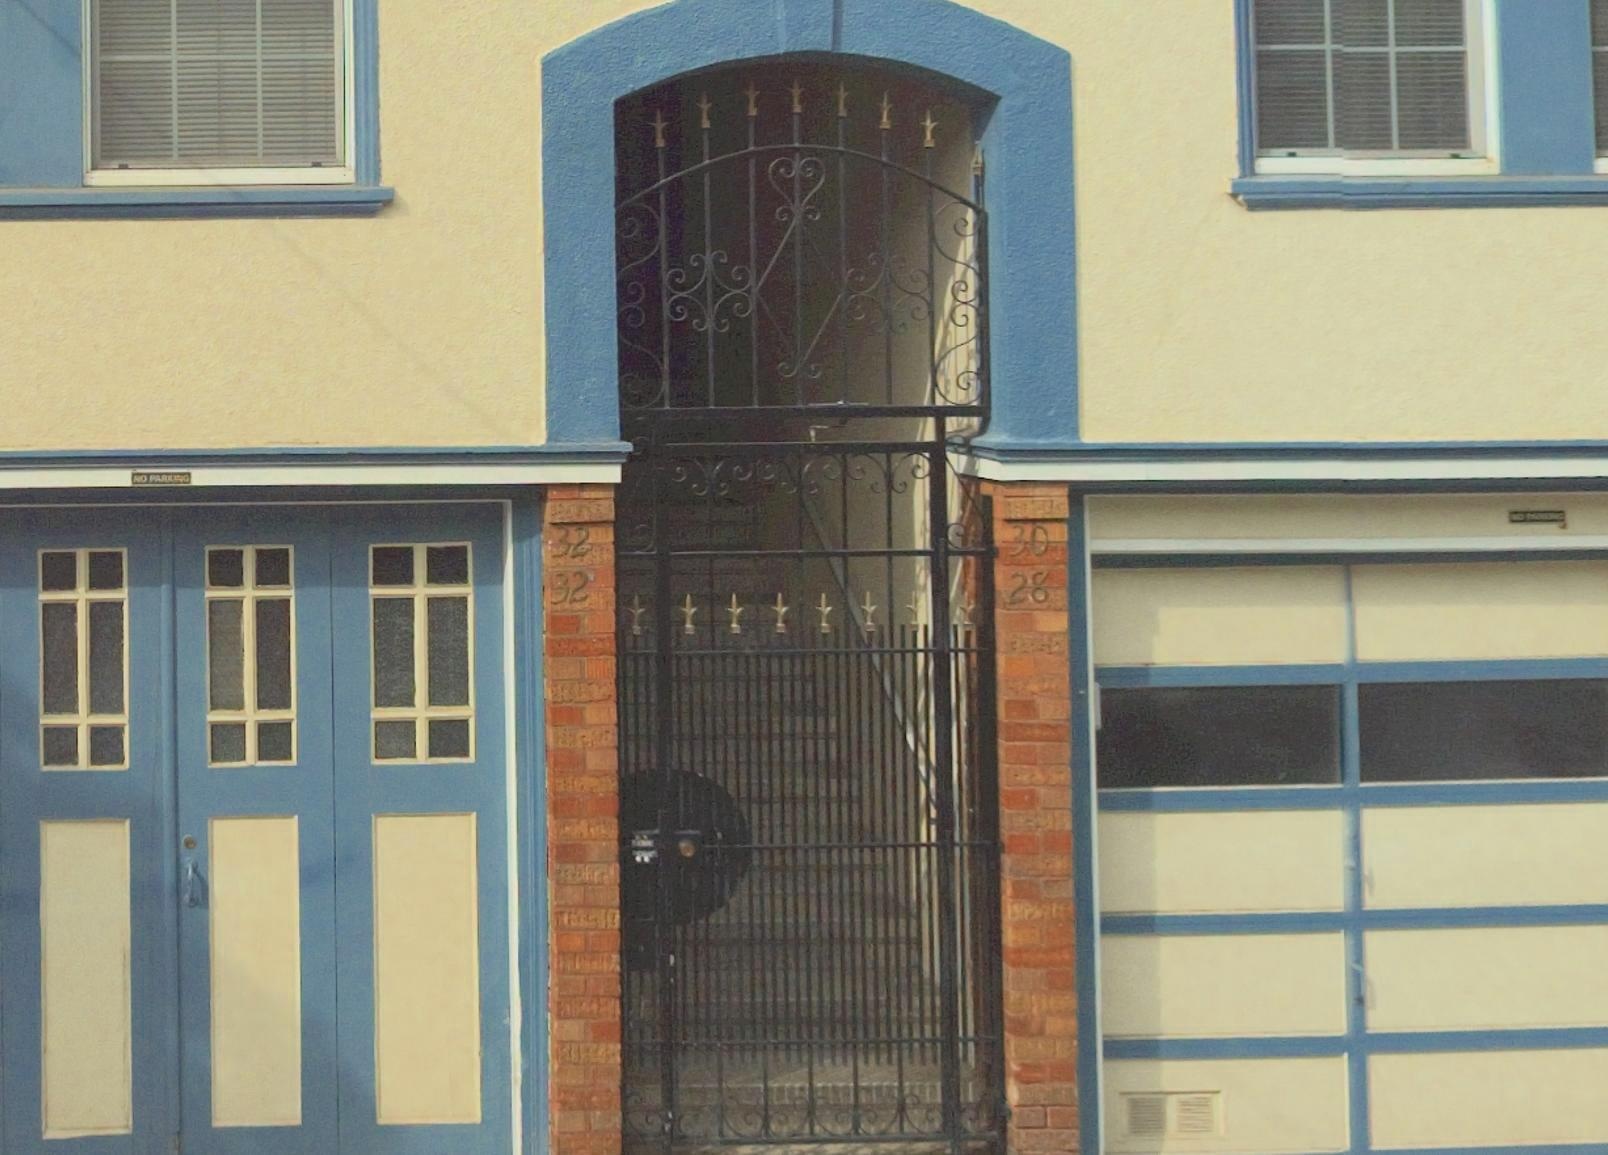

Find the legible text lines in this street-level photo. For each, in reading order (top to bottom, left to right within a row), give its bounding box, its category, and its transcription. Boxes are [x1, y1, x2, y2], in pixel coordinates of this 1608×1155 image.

[131, 473, 189, 483] None: NO PARKING
[550, 525, 592, 559] StreetNumber: 32
[1008, 523, 1050, 558] StreetNumber: 30
[549, 570, 591, 607] StreetNumber: 32
[1009, 568, 1051, 607] StreetNumber: 28